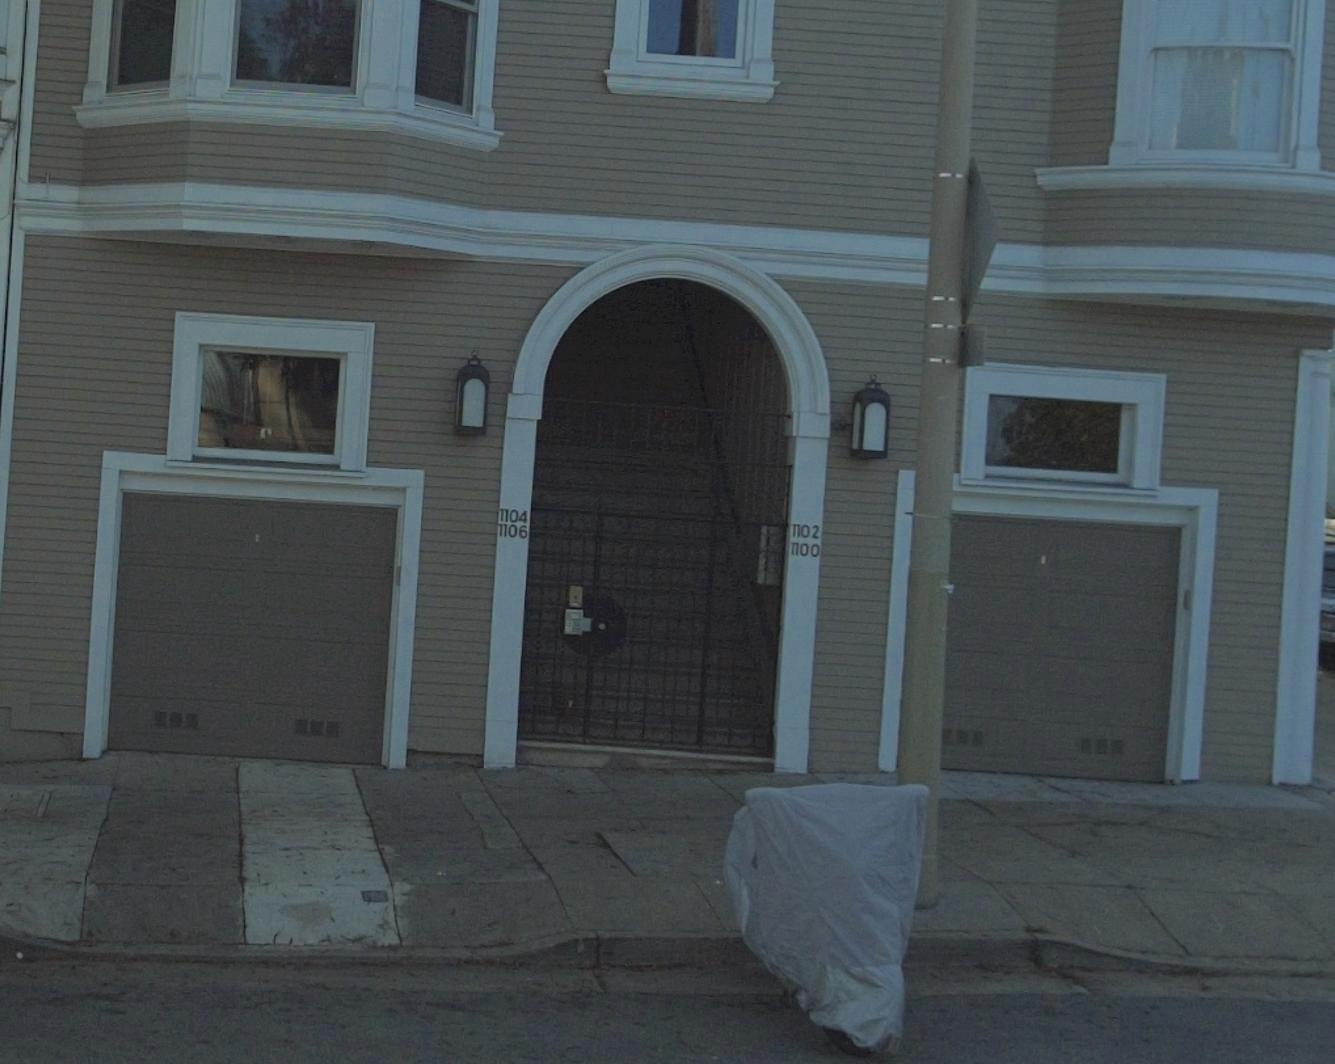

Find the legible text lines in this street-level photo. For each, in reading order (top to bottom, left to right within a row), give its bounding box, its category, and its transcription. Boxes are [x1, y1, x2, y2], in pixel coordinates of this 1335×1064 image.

[499, 508, 529, 525] StreetNumber: 1104
[499, 523, 528, 540] StreetNumber: 1106
[791, 523, 820, 539] StreetNumber: 1102
[791, 542, 820, 558] StreetNumber: 1100